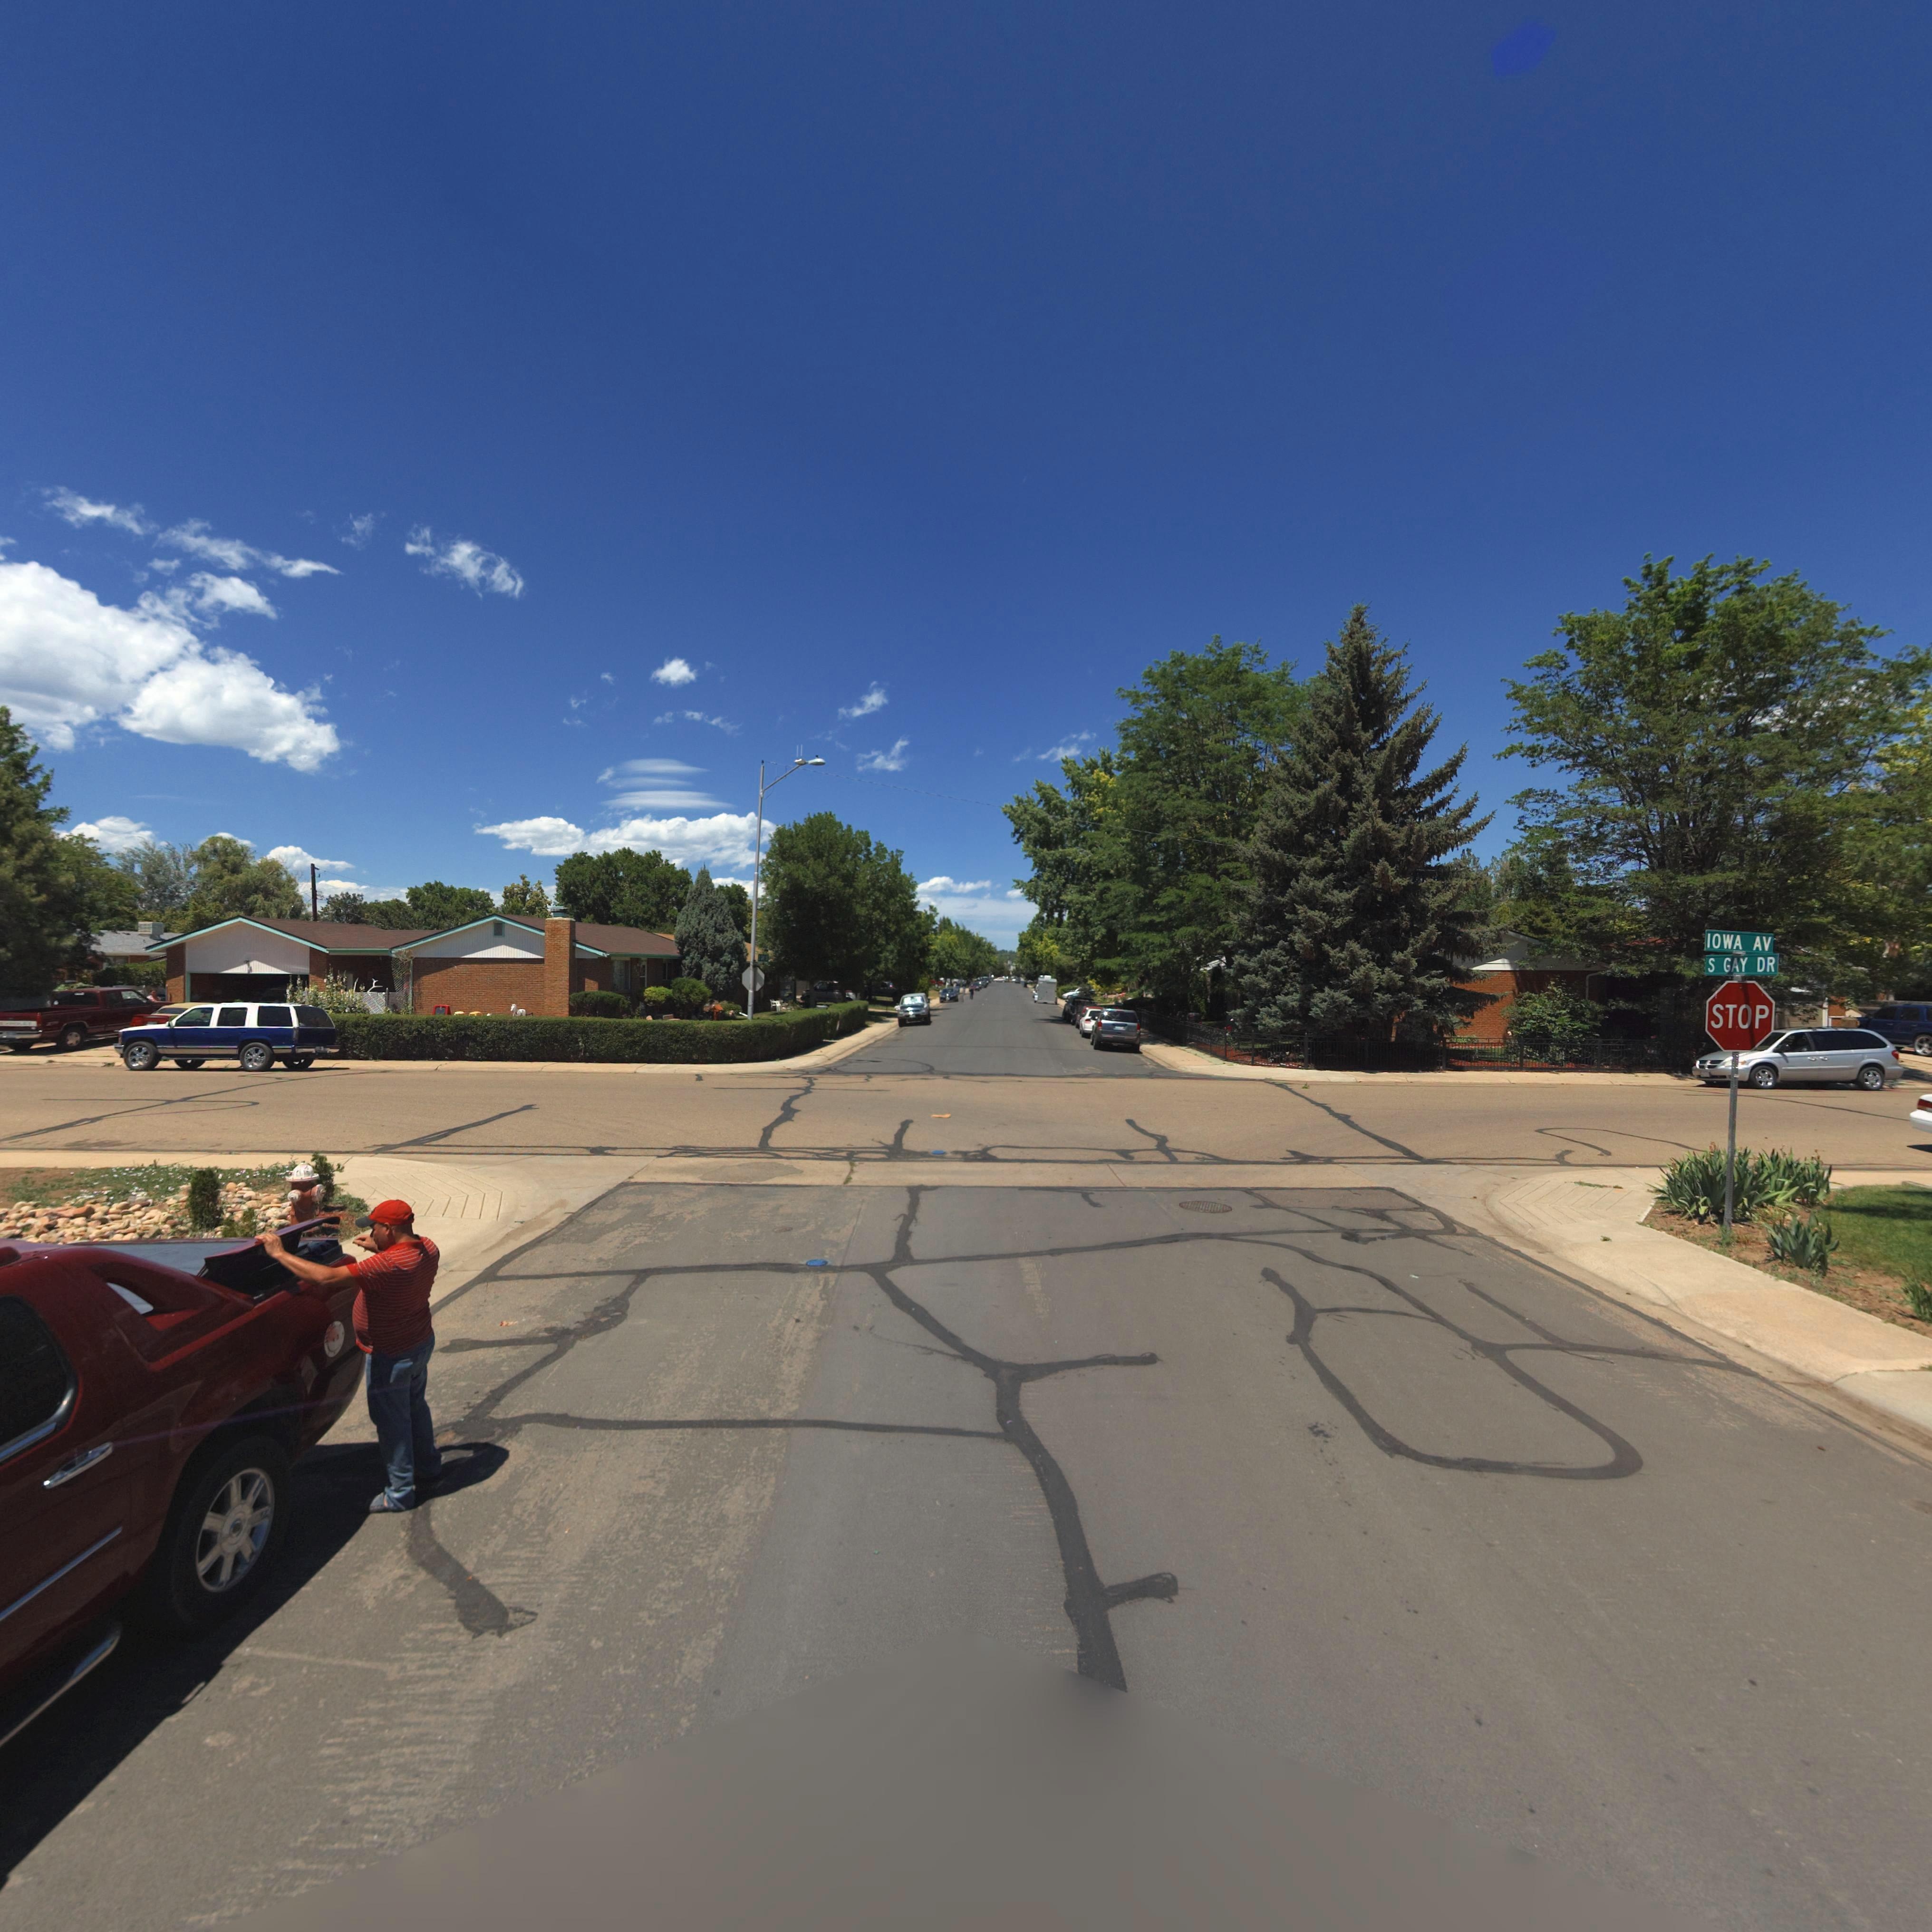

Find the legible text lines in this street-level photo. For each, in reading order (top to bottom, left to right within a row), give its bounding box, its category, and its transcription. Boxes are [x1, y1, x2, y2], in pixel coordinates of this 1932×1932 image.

[1706, 932, 1773, 952] StreetName: IOWA AV
[1707, 956, 1777, 973] StreetName: S GAY ST